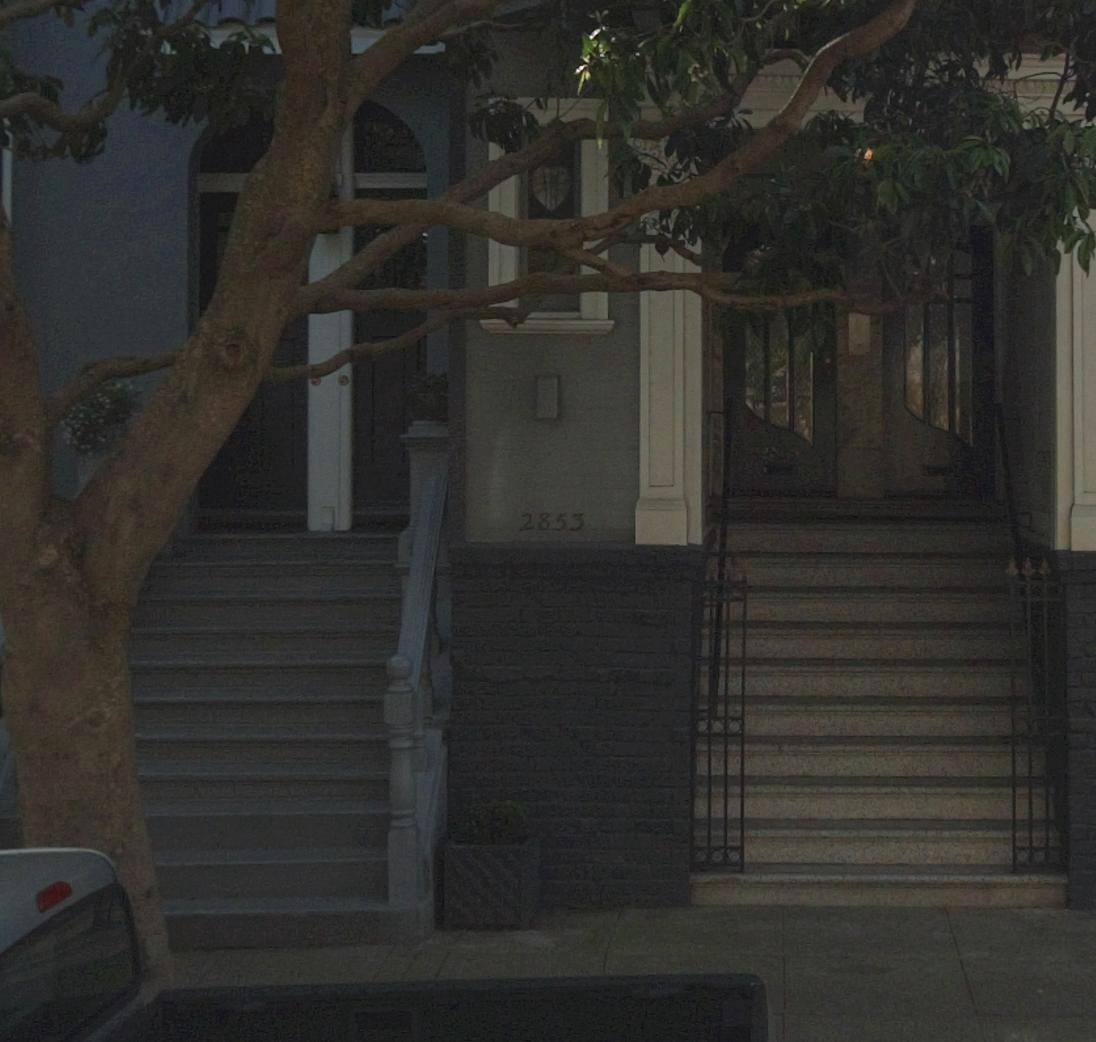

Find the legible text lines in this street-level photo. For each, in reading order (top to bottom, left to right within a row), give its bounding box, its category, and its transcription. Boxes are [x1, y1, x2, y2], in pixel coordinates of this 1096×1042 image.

[515, 510, 587, 534] StreetNumber: 2853